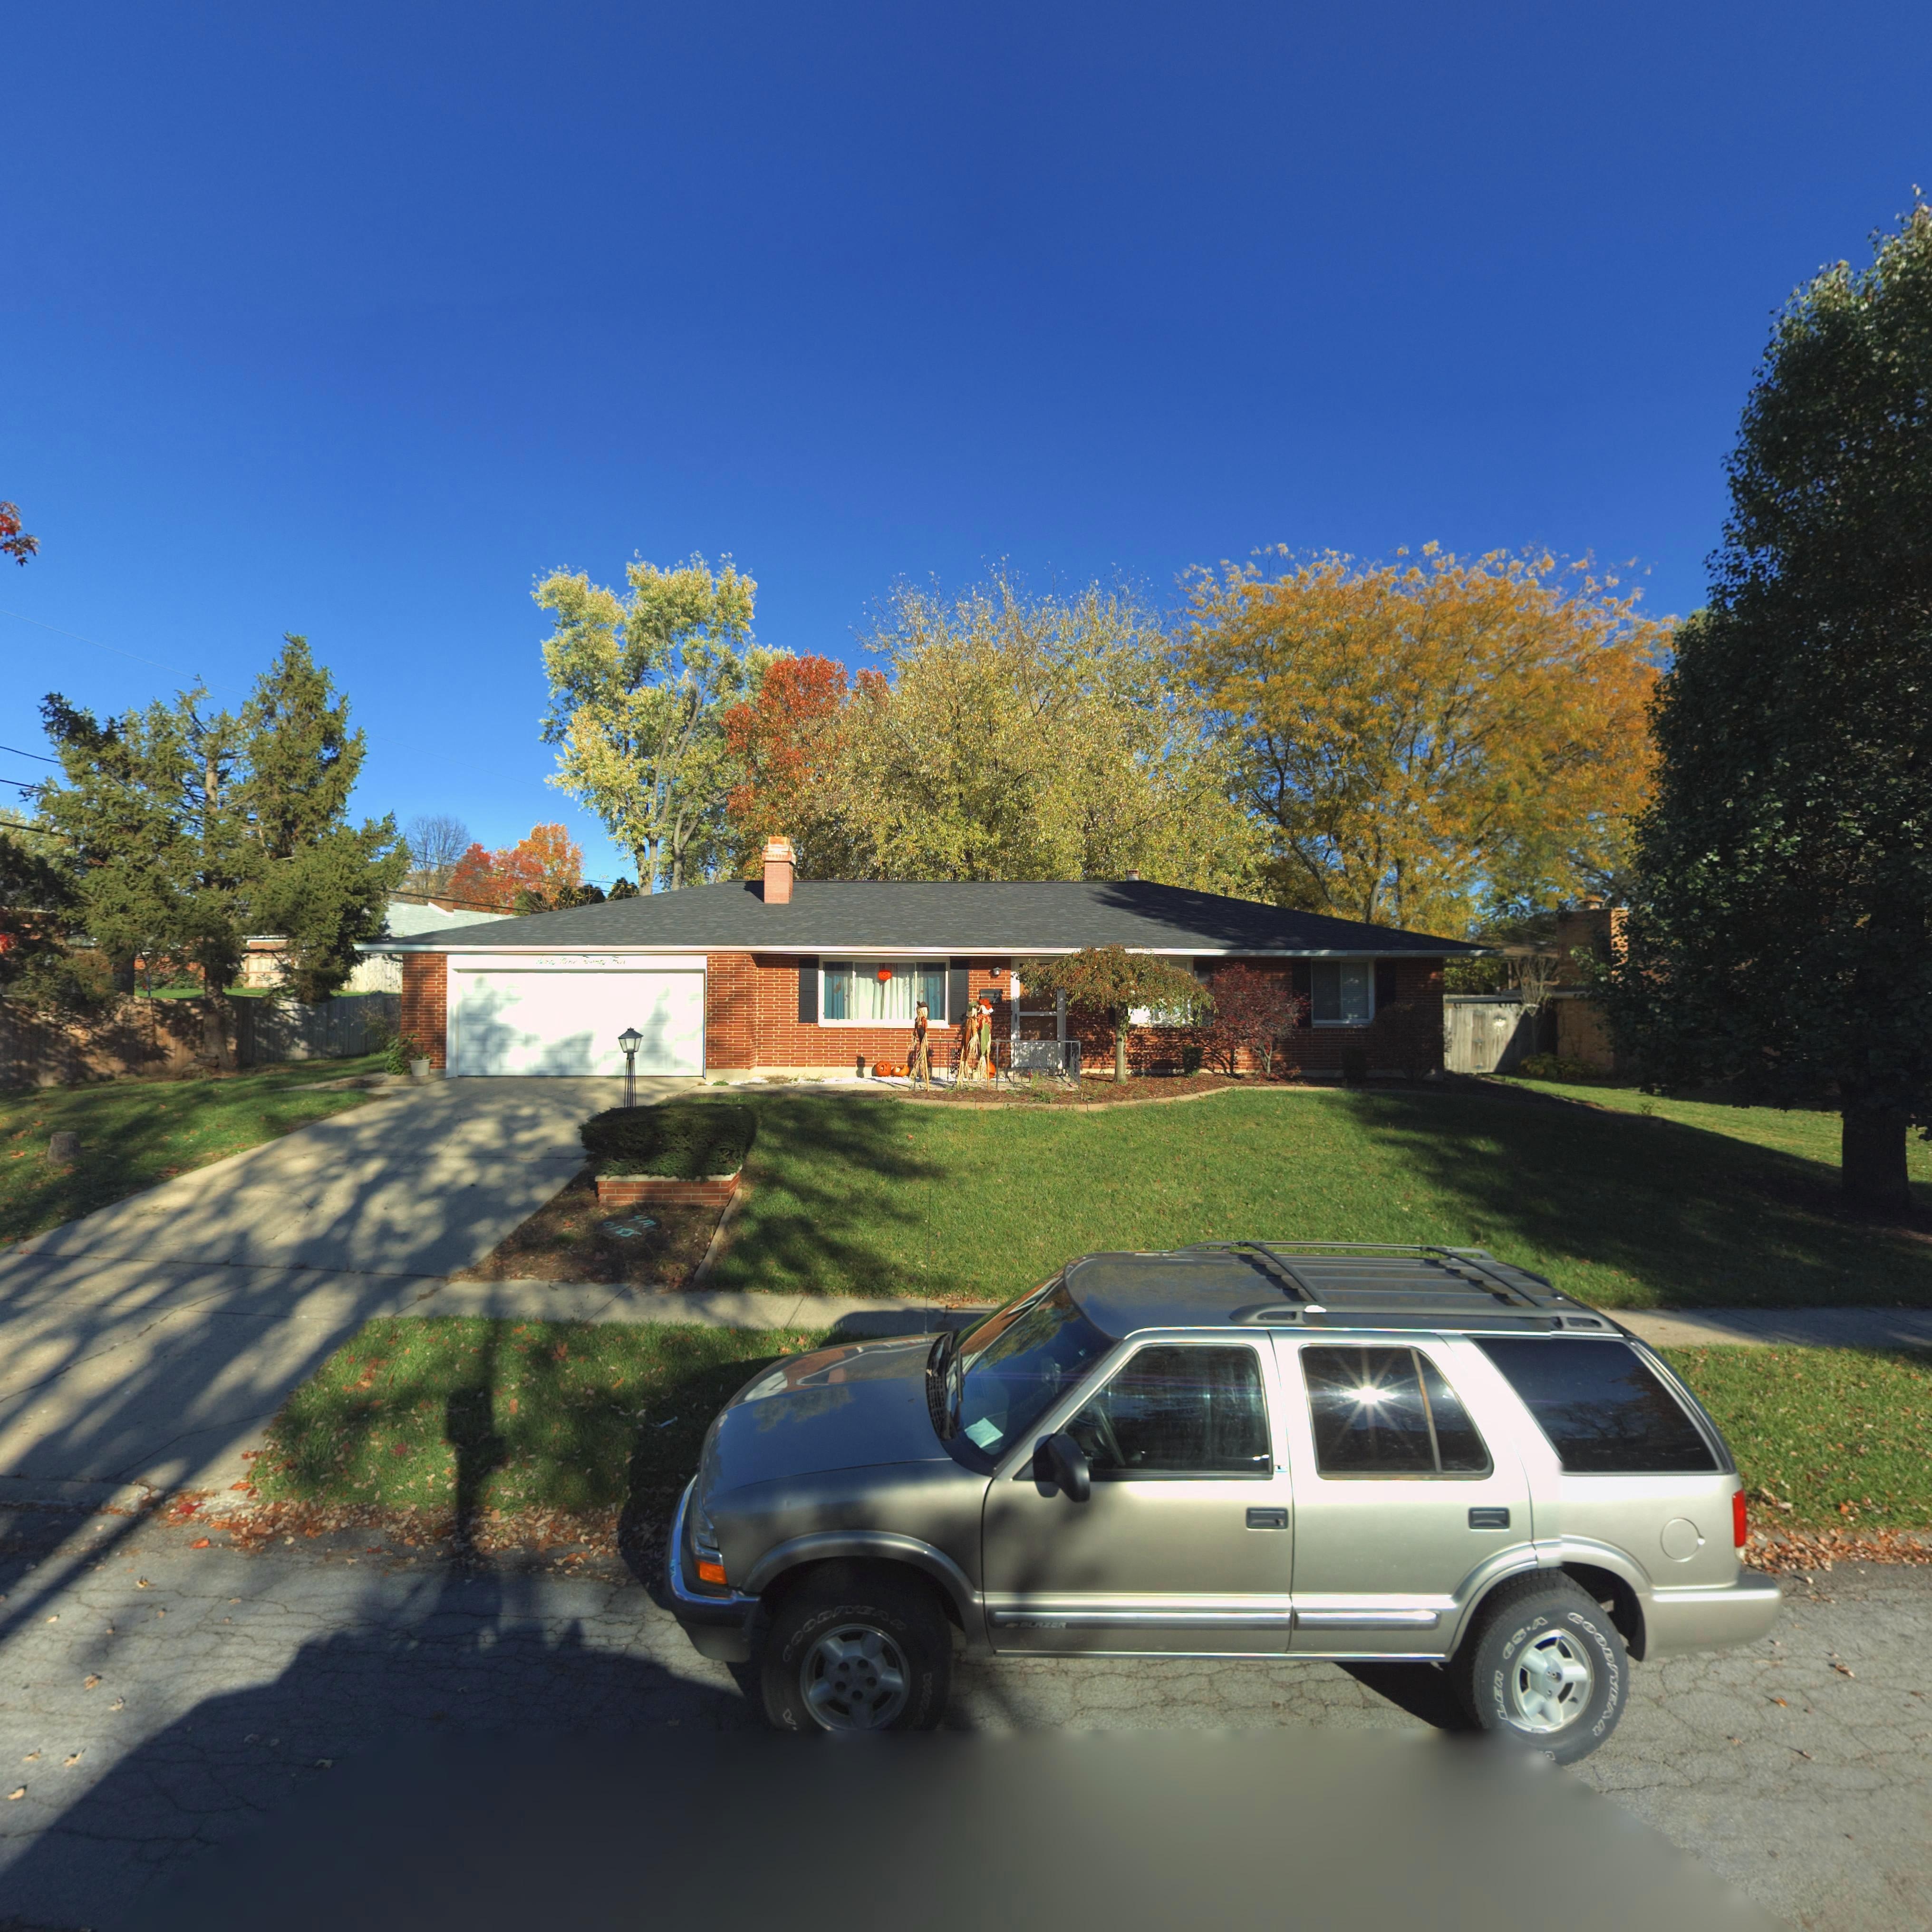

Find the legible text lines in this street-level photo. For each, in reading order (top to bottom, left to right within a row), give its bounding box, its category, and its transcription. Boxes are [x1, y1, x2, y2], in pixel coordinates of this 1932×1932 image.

[535, 954, 626, 968] StreetNumber: Sixty Nine Twenty Four